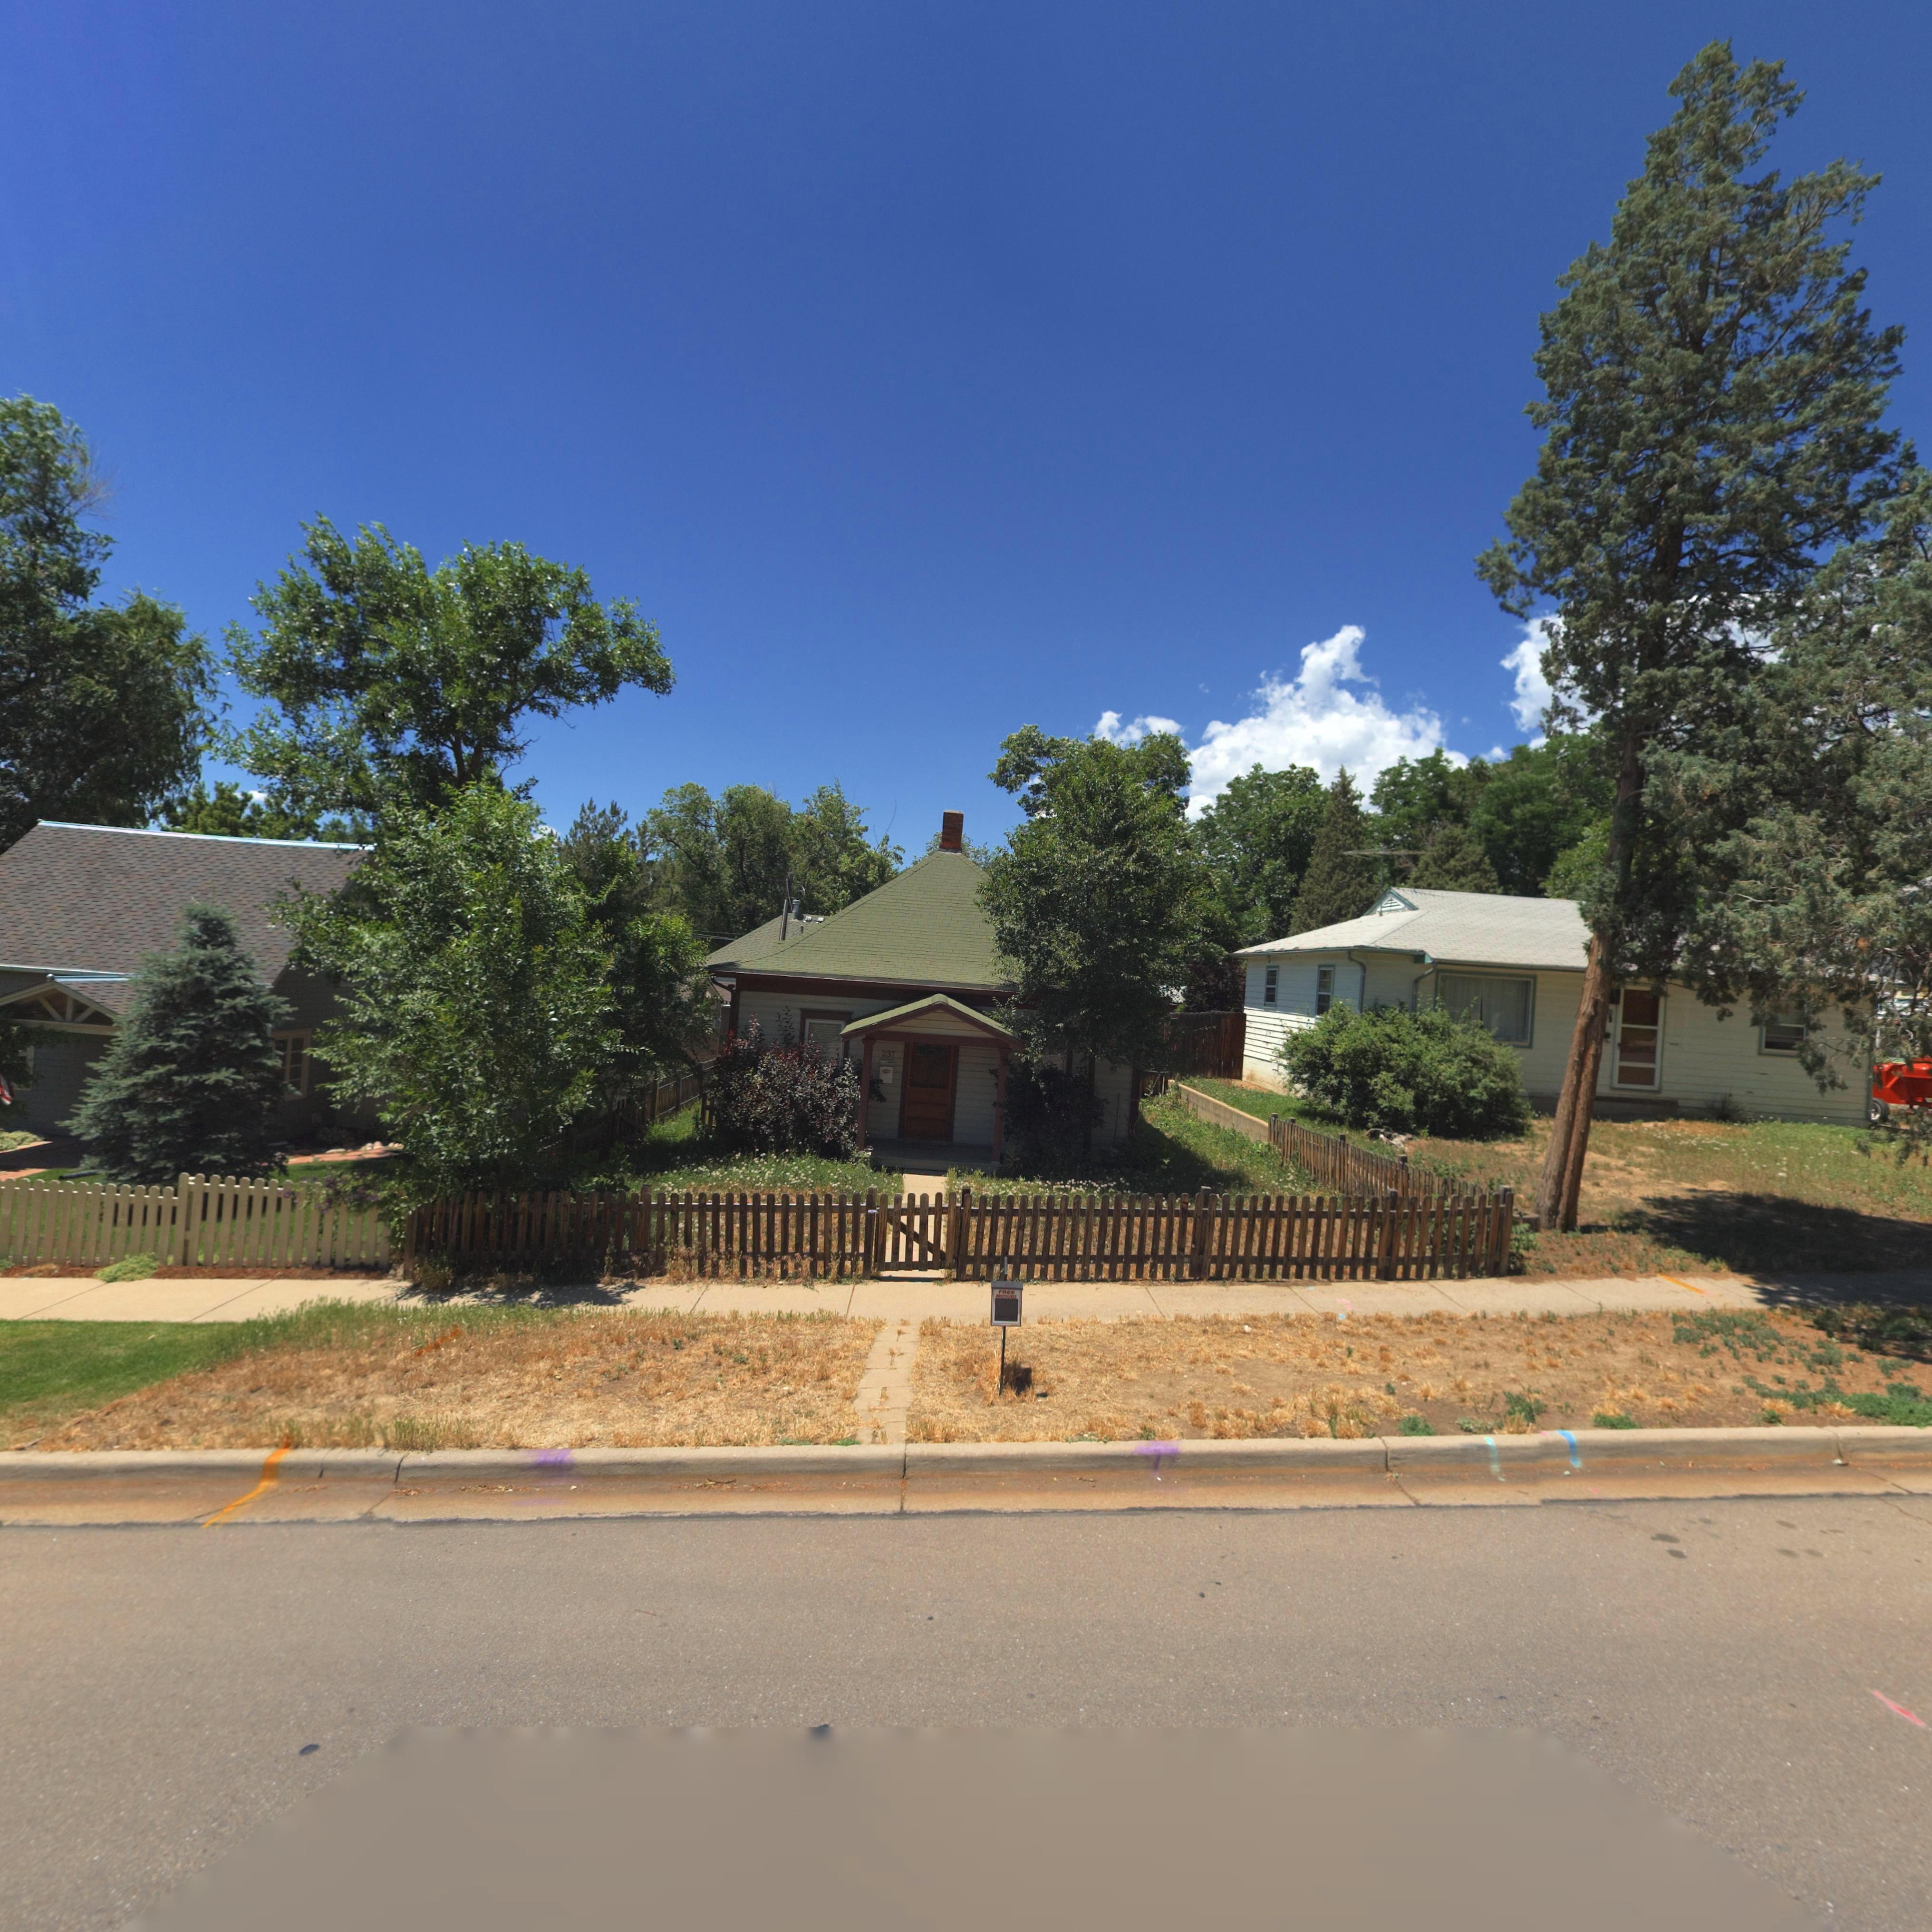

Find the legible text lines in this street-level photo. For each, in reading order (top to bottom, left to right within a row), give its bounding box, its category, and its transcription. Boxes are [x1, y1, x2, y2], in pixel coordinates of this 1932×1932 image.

[881, 1050, 895, 1057] StreetNumber: 237